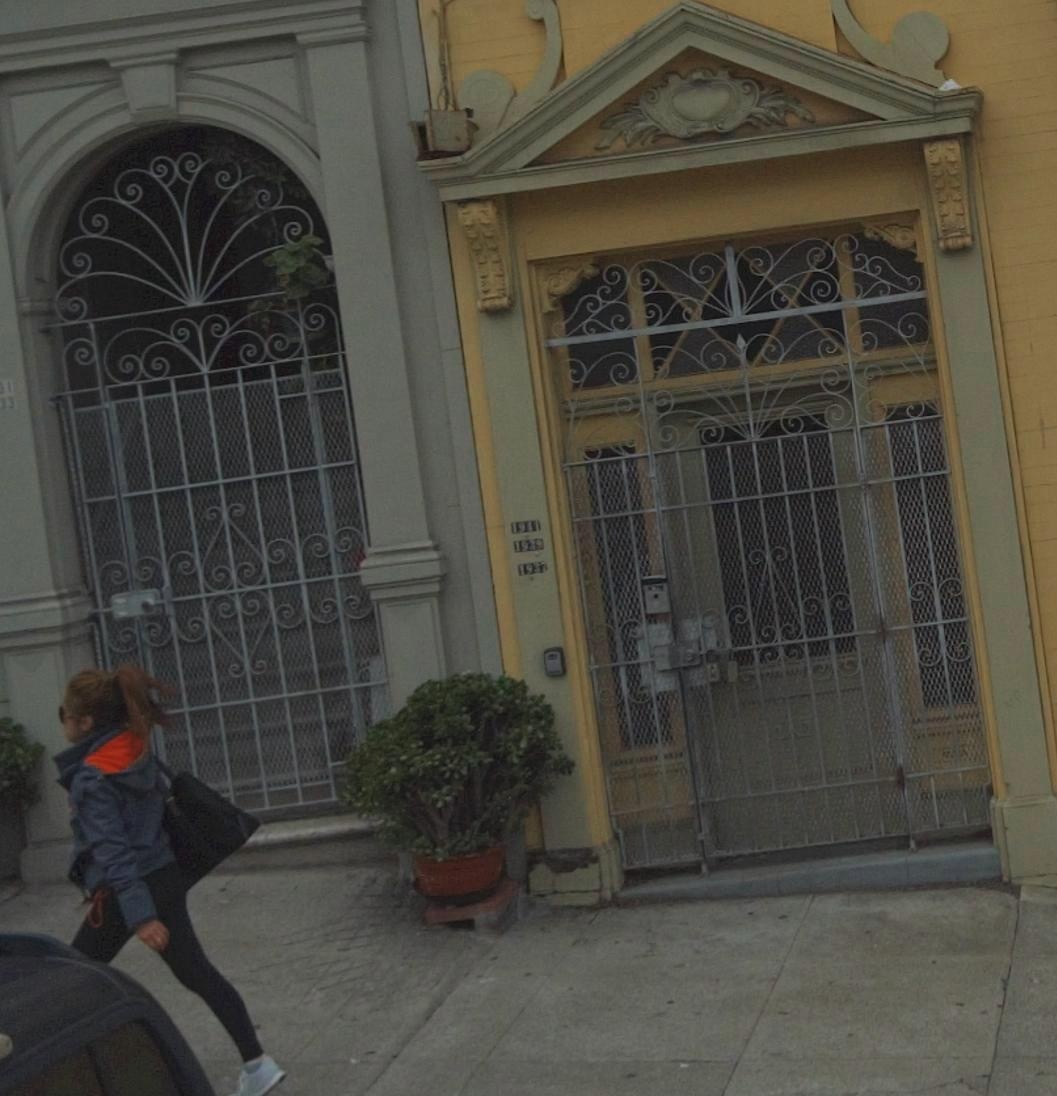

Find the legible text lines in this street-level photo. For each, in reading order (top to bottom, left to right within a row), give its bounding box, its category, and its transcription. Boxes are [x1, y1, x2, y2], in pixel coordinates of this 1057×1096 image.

[511, 519, 541, 535] StreetNumber: 19*1
[513, 536, 544, 554] StreetNumber: 1929
[519, 560, 549, 577] StreetNumber: 19*7